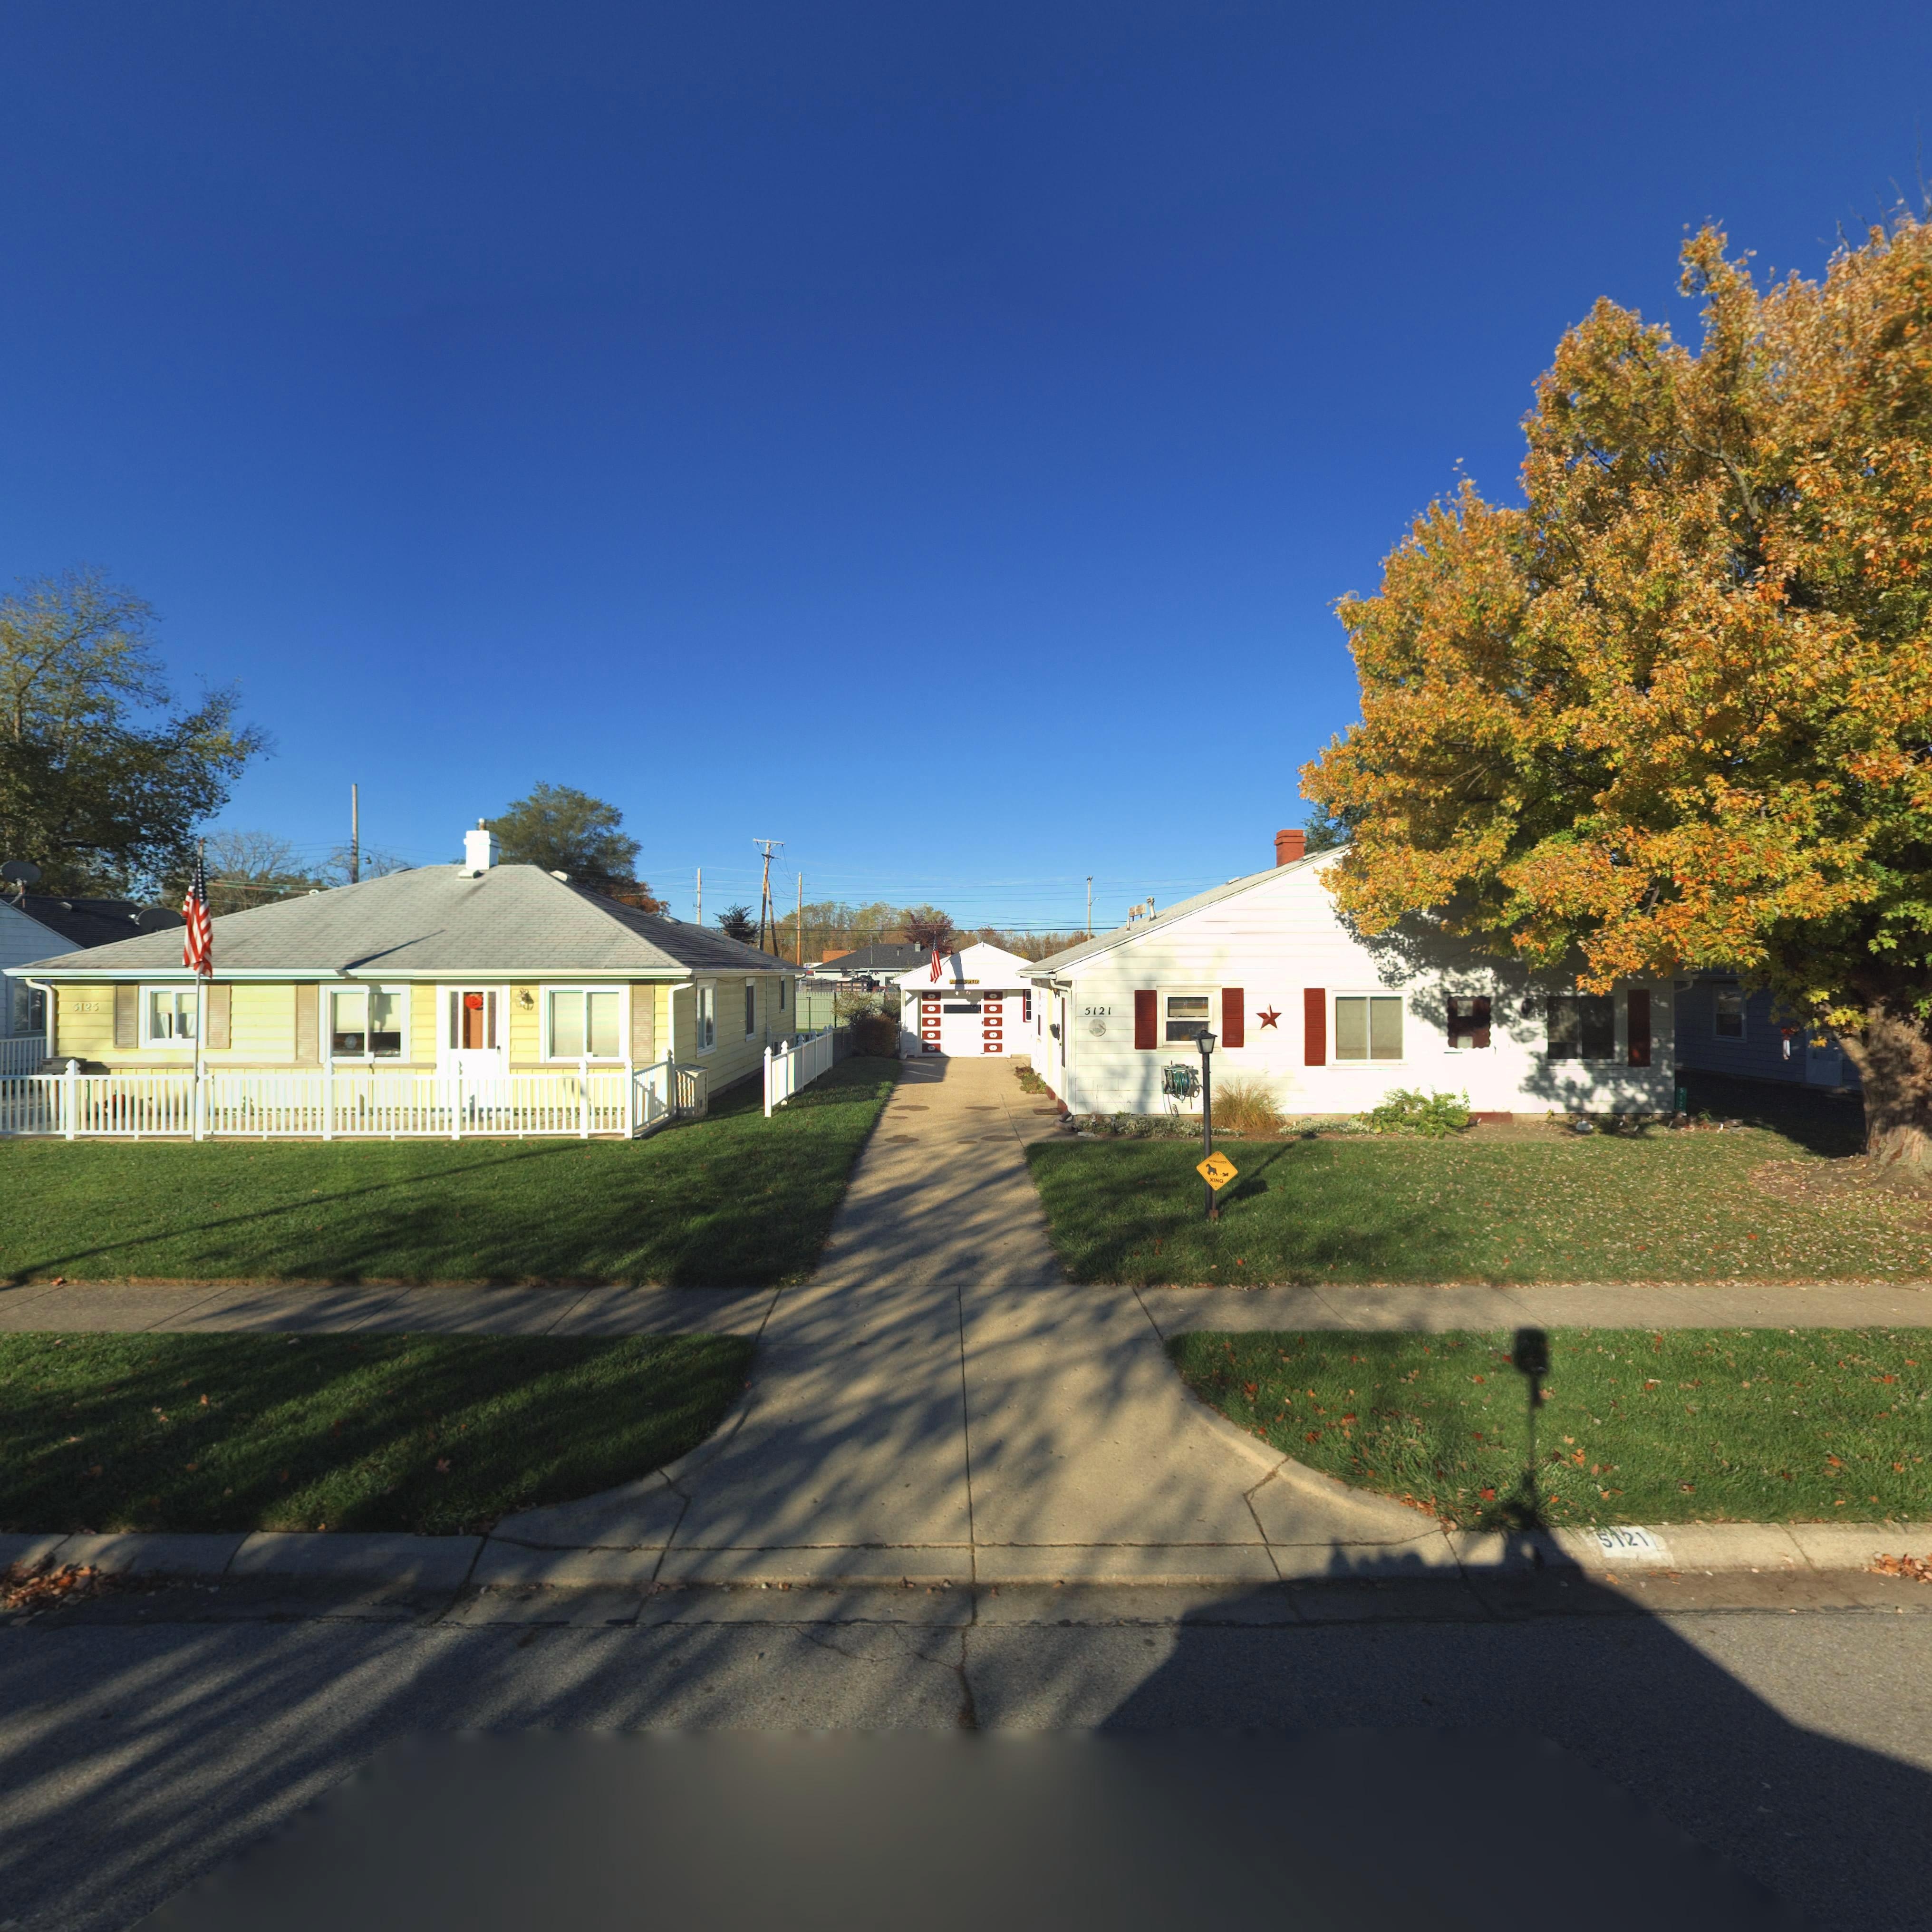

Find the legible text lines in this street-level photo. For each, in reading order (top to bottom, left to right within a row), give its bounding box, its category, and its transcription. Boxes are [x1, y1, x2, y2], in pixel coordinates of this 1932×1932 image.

[72, 1002, 99, 1012] StreetNumber: 5125
[1084, 1006, 1111, 1015] StreetNumber: 5121
[1678, 1087, 1684, 1108] StreetNumber: 512
[1595, 1531, 1651, 1548] StreetNumber: 5121